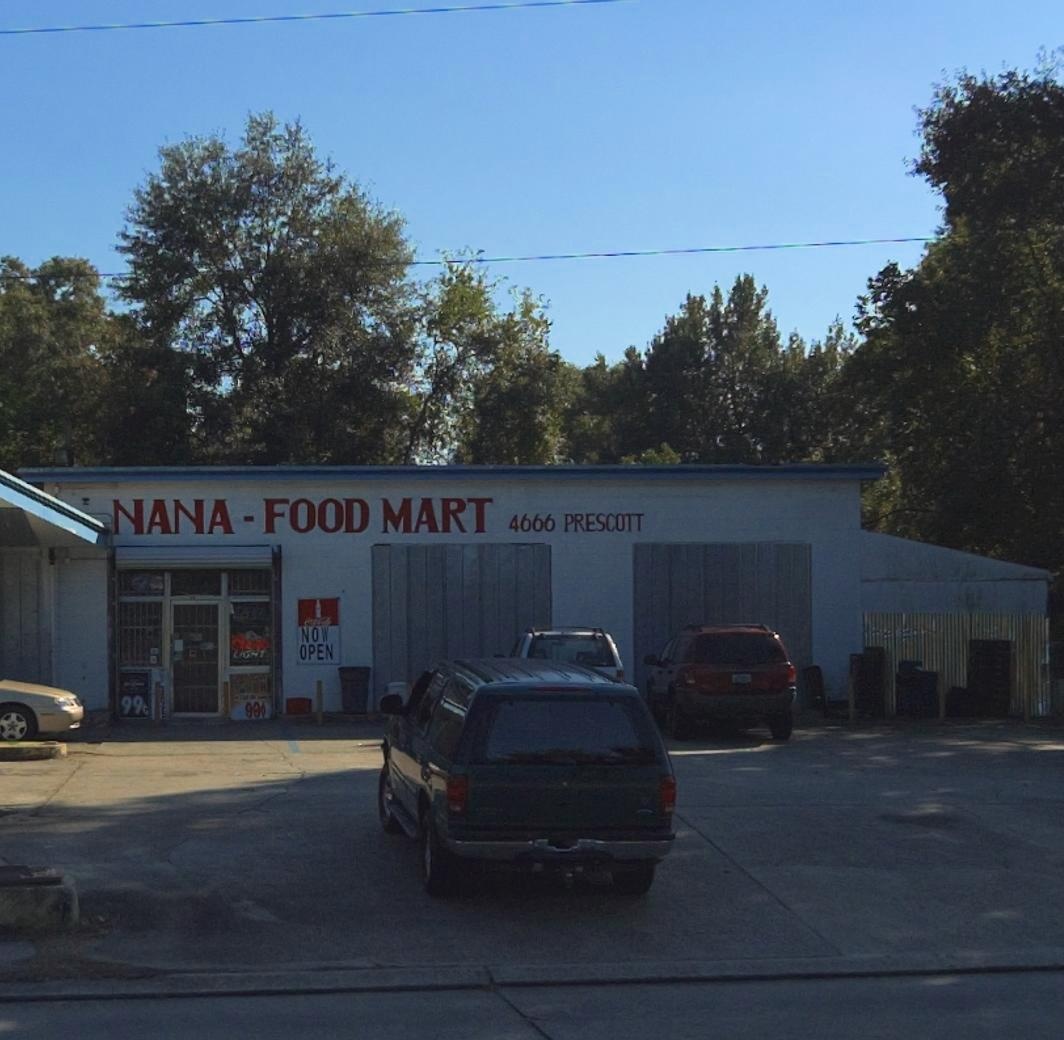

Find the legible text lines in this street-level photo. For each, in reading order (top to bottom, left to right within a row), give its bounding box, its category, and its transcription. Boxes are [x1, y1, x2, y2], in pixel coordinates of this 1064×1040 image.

[111, 497, 495, 536] BusinessName: NANA-FOOD MART
[508, 513, 556, 534] StreetNumber: 4666
[563, 512, 645, 533] StreetName: PRESCOTT
[300, 626, 330, 644] None: NOW
[232, 649, 268, 659] None: LIGHT
[298, 644, 333, 661] None: OPEN
[120, 694, 144, 716] None: 99
[245, 701, 261, 719] None: 9*